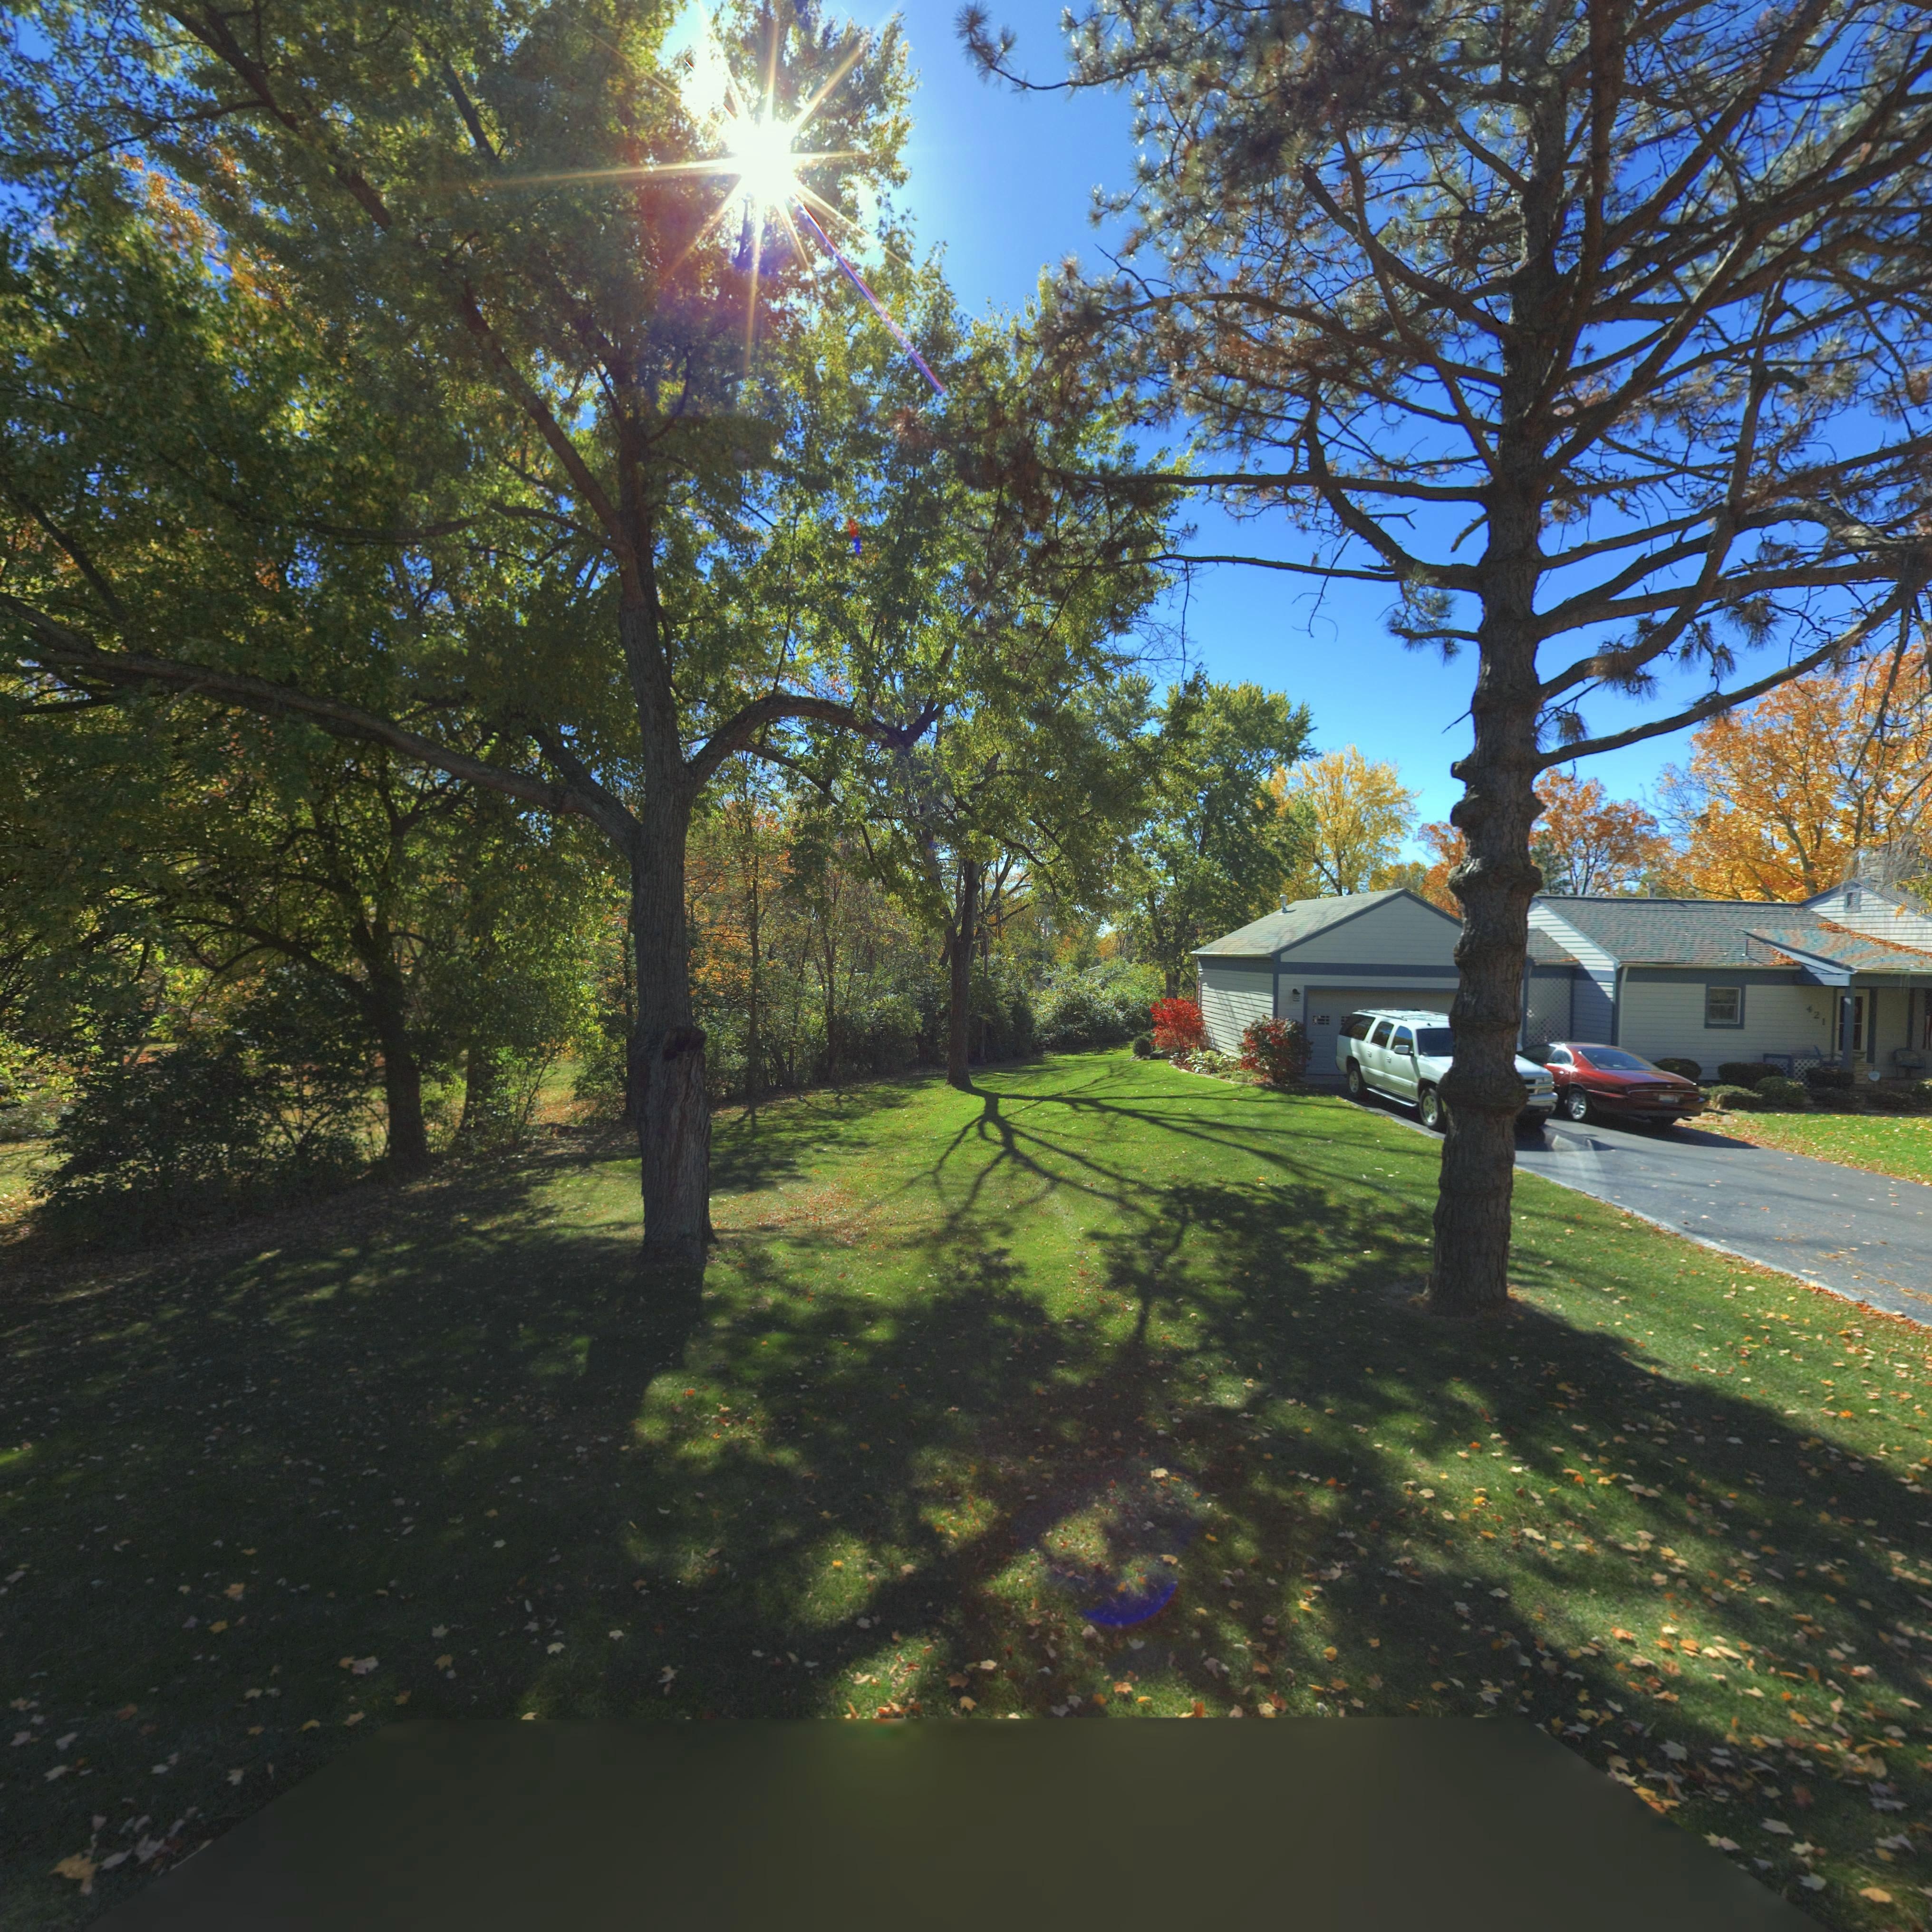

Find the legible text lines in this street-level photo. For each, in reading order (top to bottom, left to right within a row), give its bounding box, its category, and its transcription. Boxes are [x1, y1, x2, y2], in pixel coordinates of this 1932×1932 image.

[1805, 1005, 1826, 1026] StreetNumber: 421